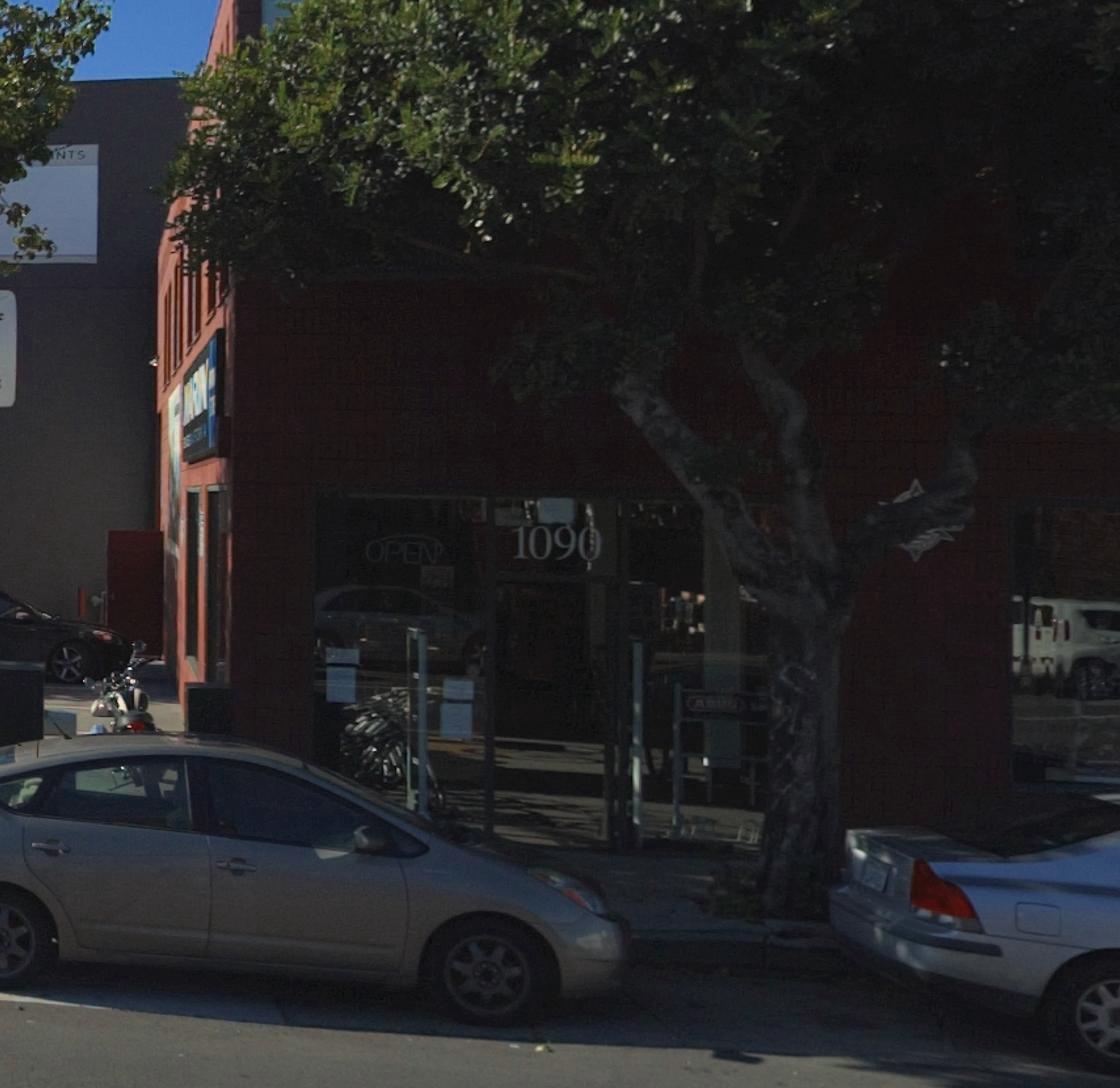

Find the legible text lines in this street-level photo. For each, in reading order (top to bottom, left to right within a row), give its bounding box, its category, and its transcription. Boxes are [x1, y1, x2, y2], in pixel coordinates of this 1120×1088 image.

[363, 537, 441, 567] None: OPEN
[511, 523, 603, 562] StreetNumber: 1090